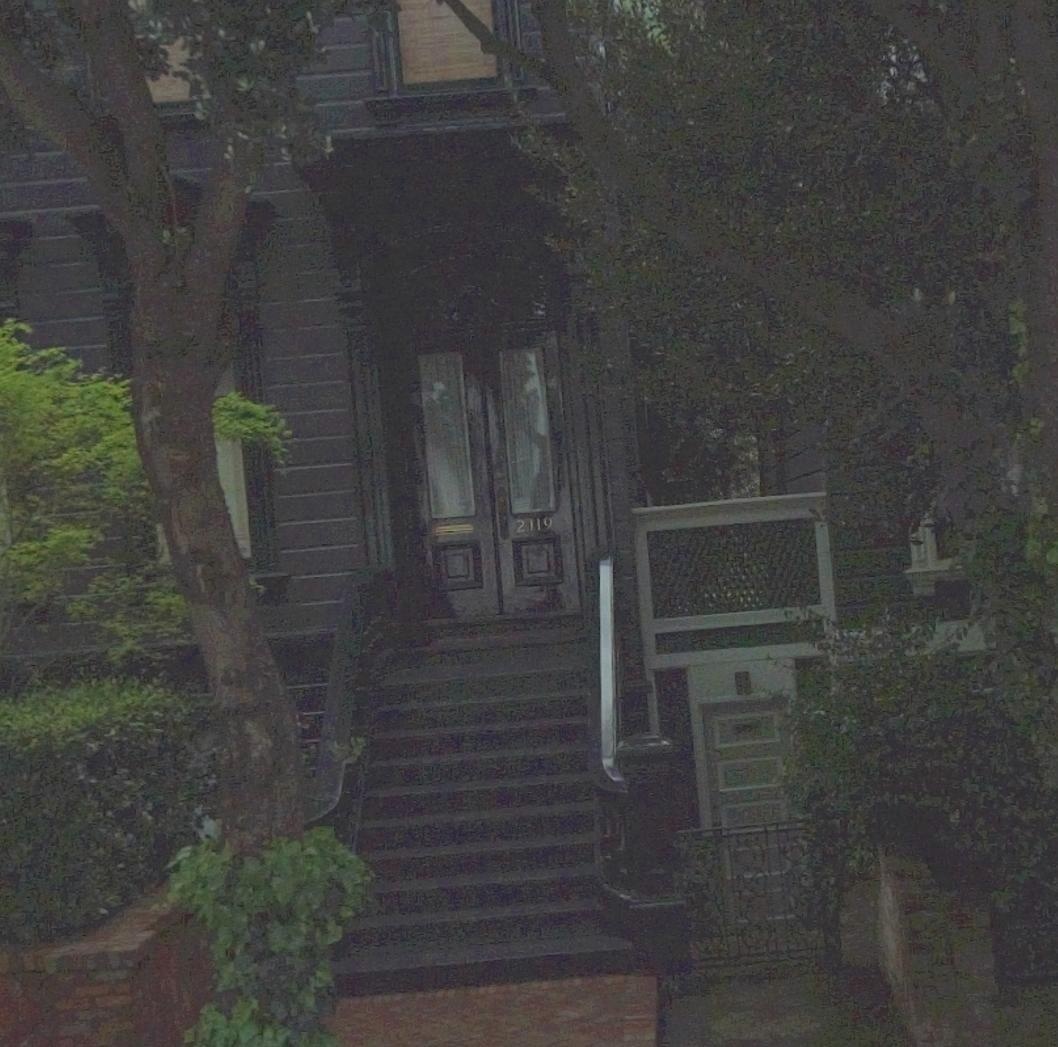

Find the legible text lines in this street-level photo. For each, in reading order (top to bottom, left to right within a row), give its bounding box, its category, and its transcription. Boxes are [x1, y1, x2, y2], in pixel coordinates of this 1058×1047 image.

[512, 514, 556, 536] StreetNumber: 2119